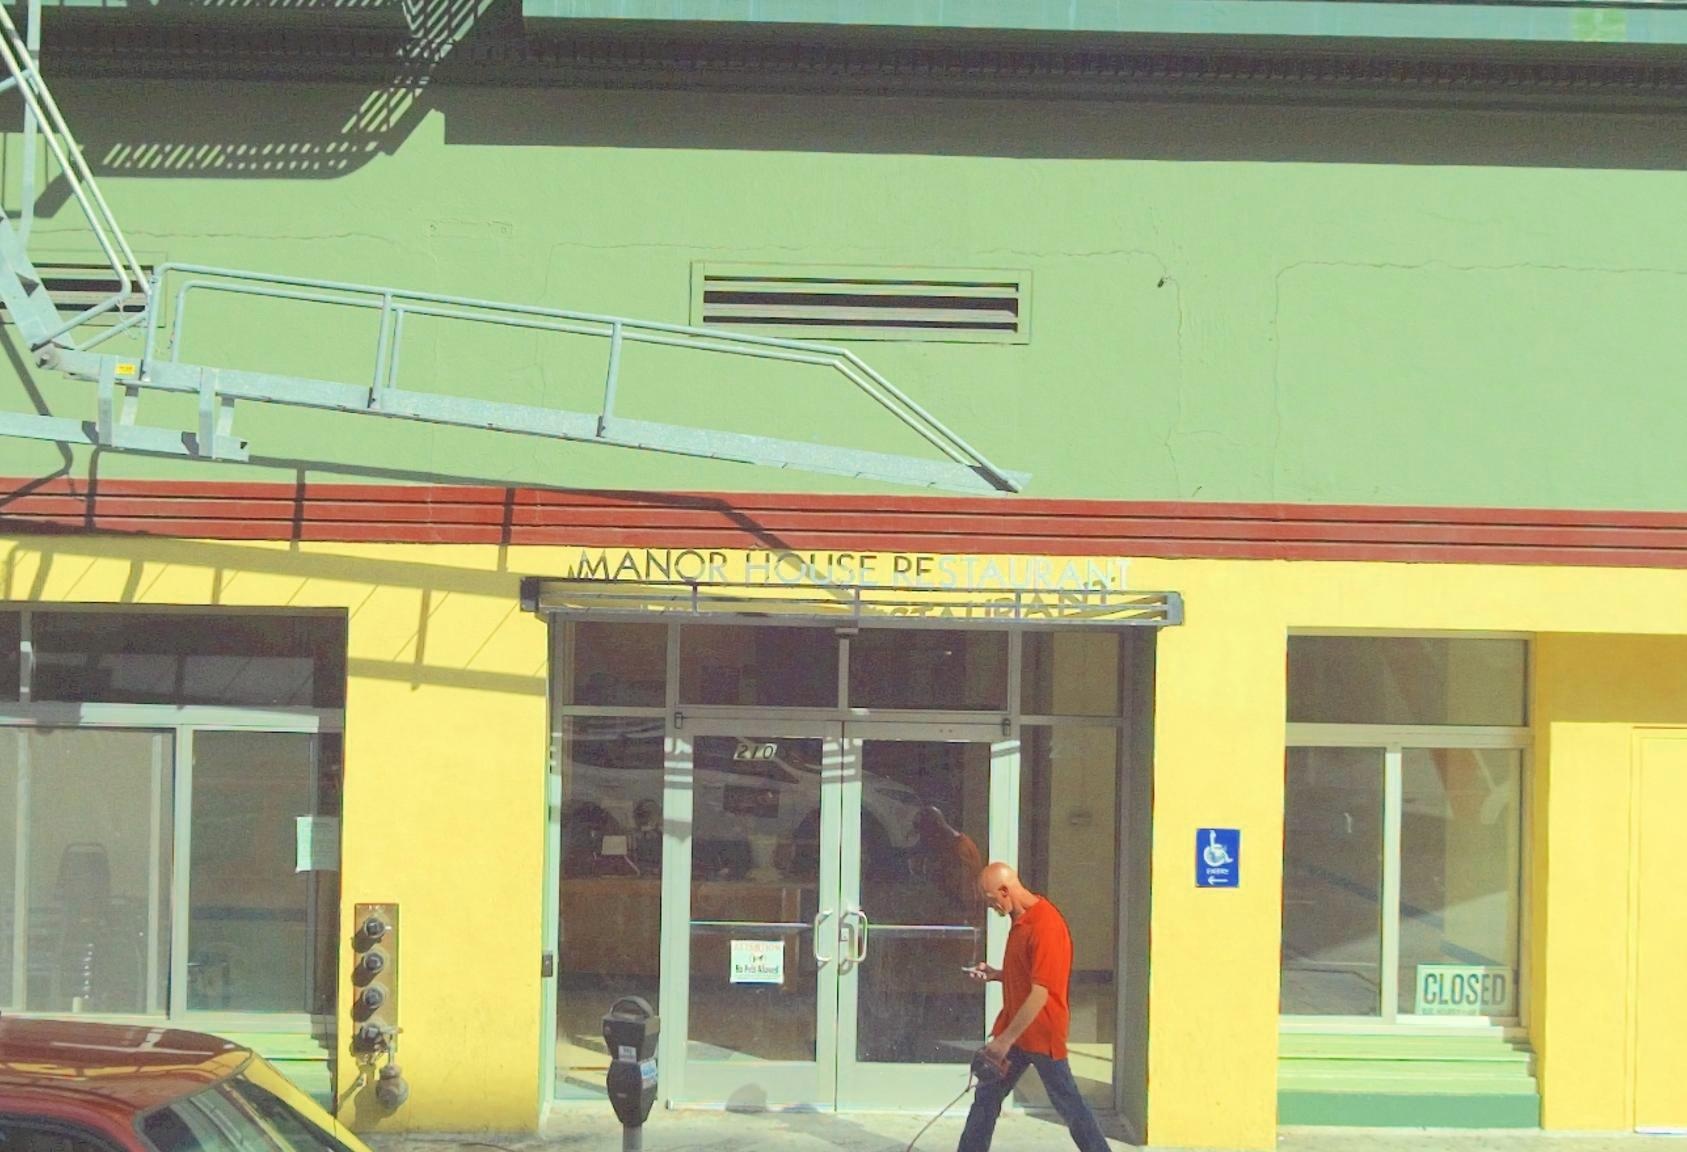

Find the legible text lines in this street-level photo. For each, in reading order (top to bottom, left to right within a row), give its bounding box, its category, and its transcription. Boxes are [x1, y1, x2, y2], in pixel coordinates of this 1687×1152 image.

[569, 543, 1129, 593] BusinessName: MANOR HOUSE RESTAURANT
[732, 742, 778, 763] StreetNumber: 210
[1421, 970, 1509, 1008] None: CLOSED